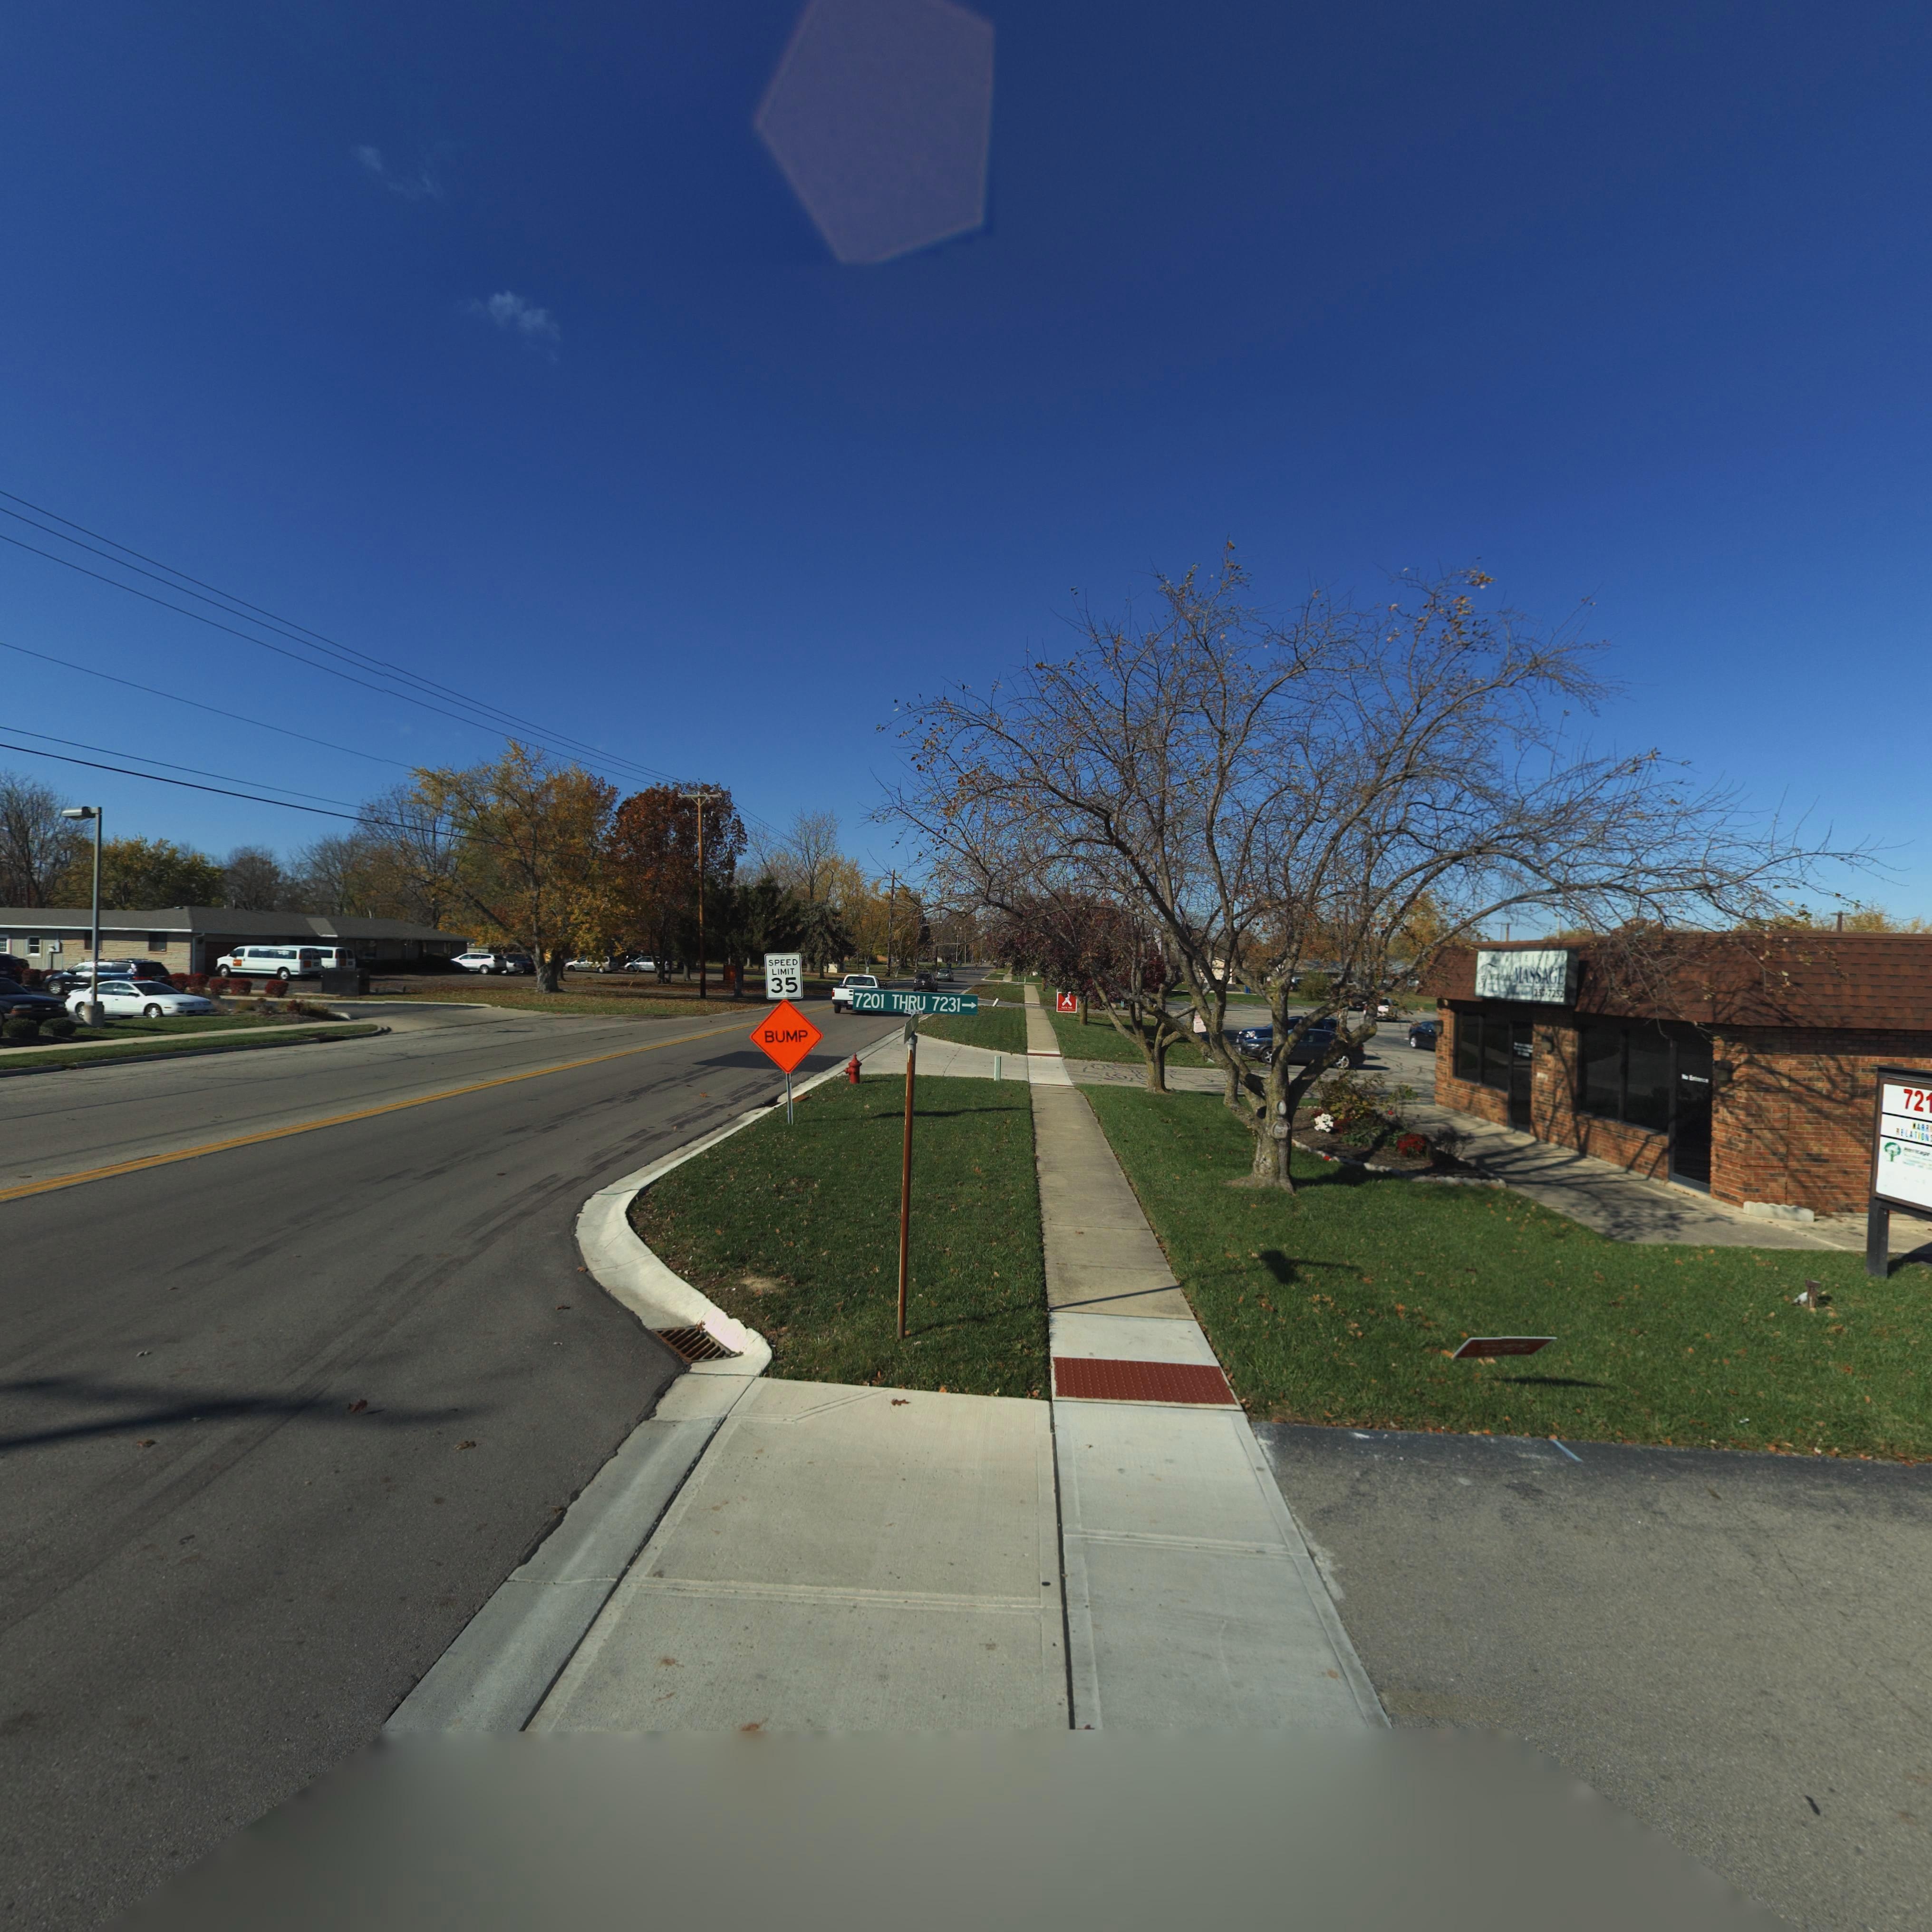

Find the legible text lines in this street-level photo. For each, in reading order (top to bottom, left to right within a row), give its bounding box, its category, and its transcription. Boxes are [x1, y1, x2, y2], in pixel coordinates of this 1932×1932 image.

[1512, 966, 1566, 986] BusinessName: MASSAGE
[854, 992, 885, 1009] StreetNumber: 7201
[931, 995, 961, 1013] StreetNumber: 7231
[1903, 1088, 1932, 1114] StreetNumber: 721